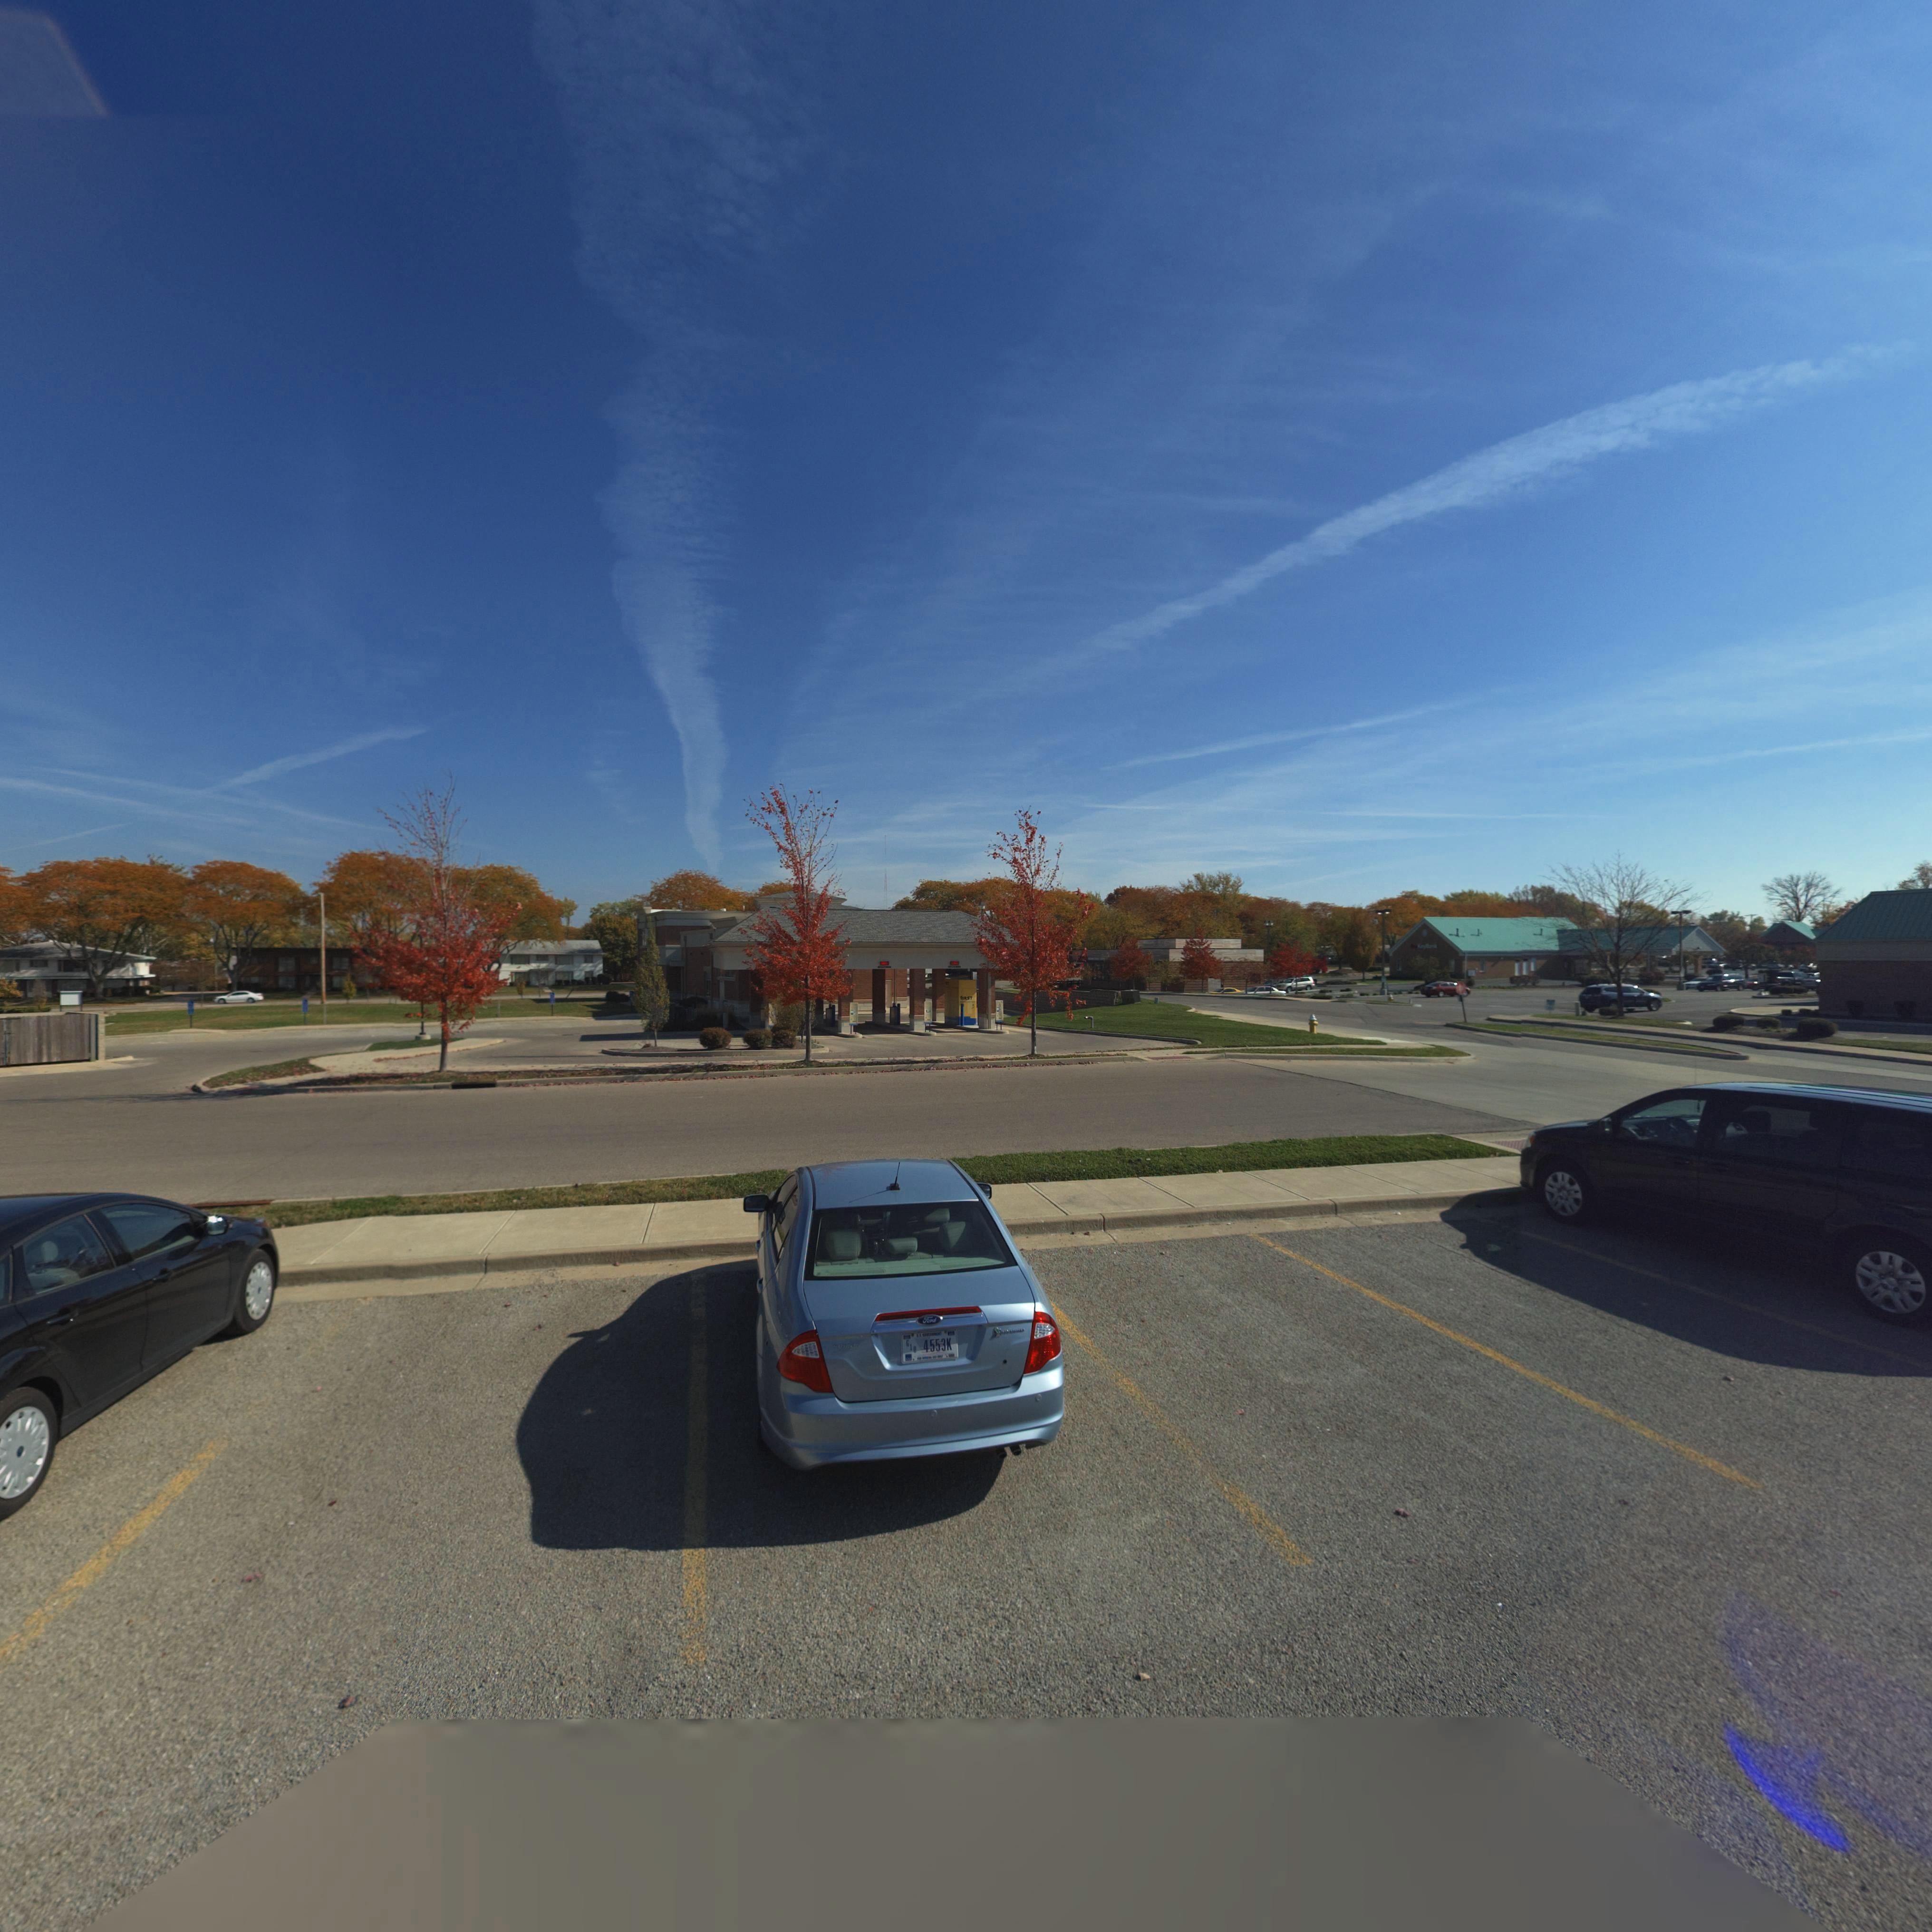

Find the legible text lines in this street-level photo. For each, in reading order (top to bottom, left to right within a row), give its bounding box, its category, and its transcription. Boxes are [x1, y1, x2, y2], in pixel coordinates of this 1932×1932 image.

[959, 995, 974, 1001] BusinessName: fIRST